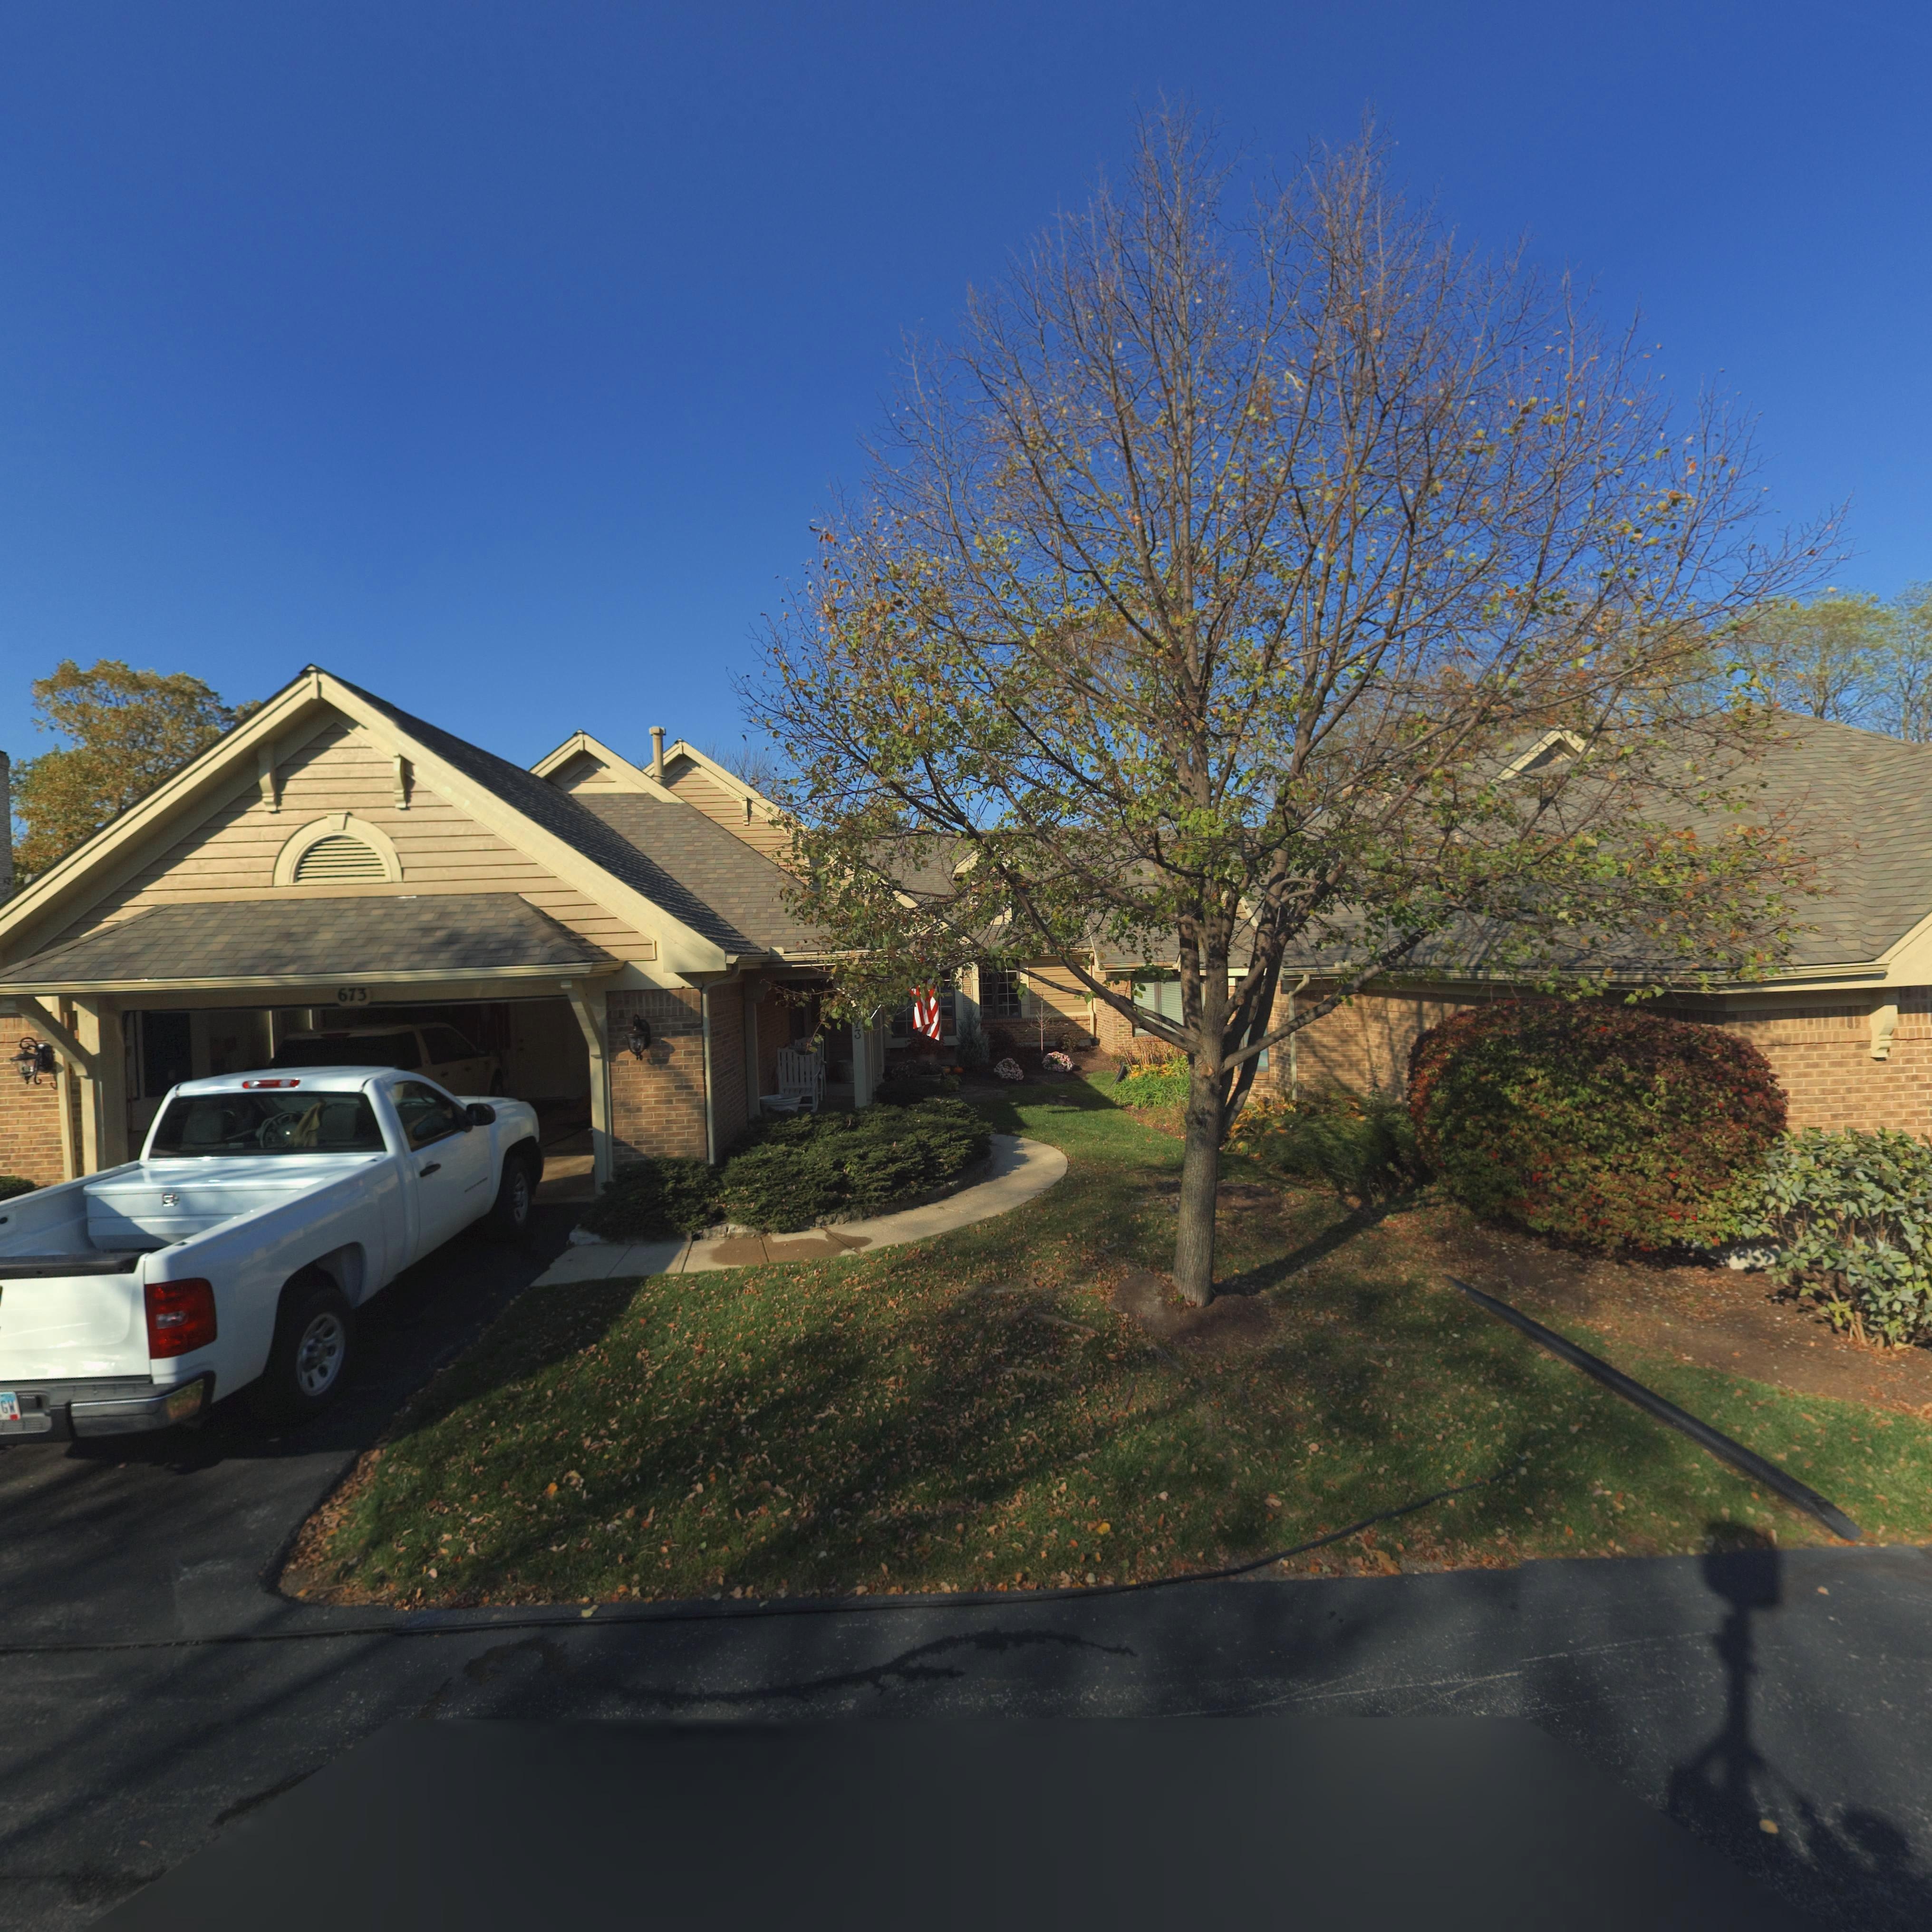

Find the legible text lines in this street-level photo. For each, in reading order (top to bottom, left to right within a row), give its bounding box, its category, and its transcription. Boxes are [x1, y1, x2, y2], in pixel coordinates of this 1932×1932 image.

[336, 986, 368, 1004] StreetNumber: 673
[853, 1028, 862, 1041] StreetNumber: 3